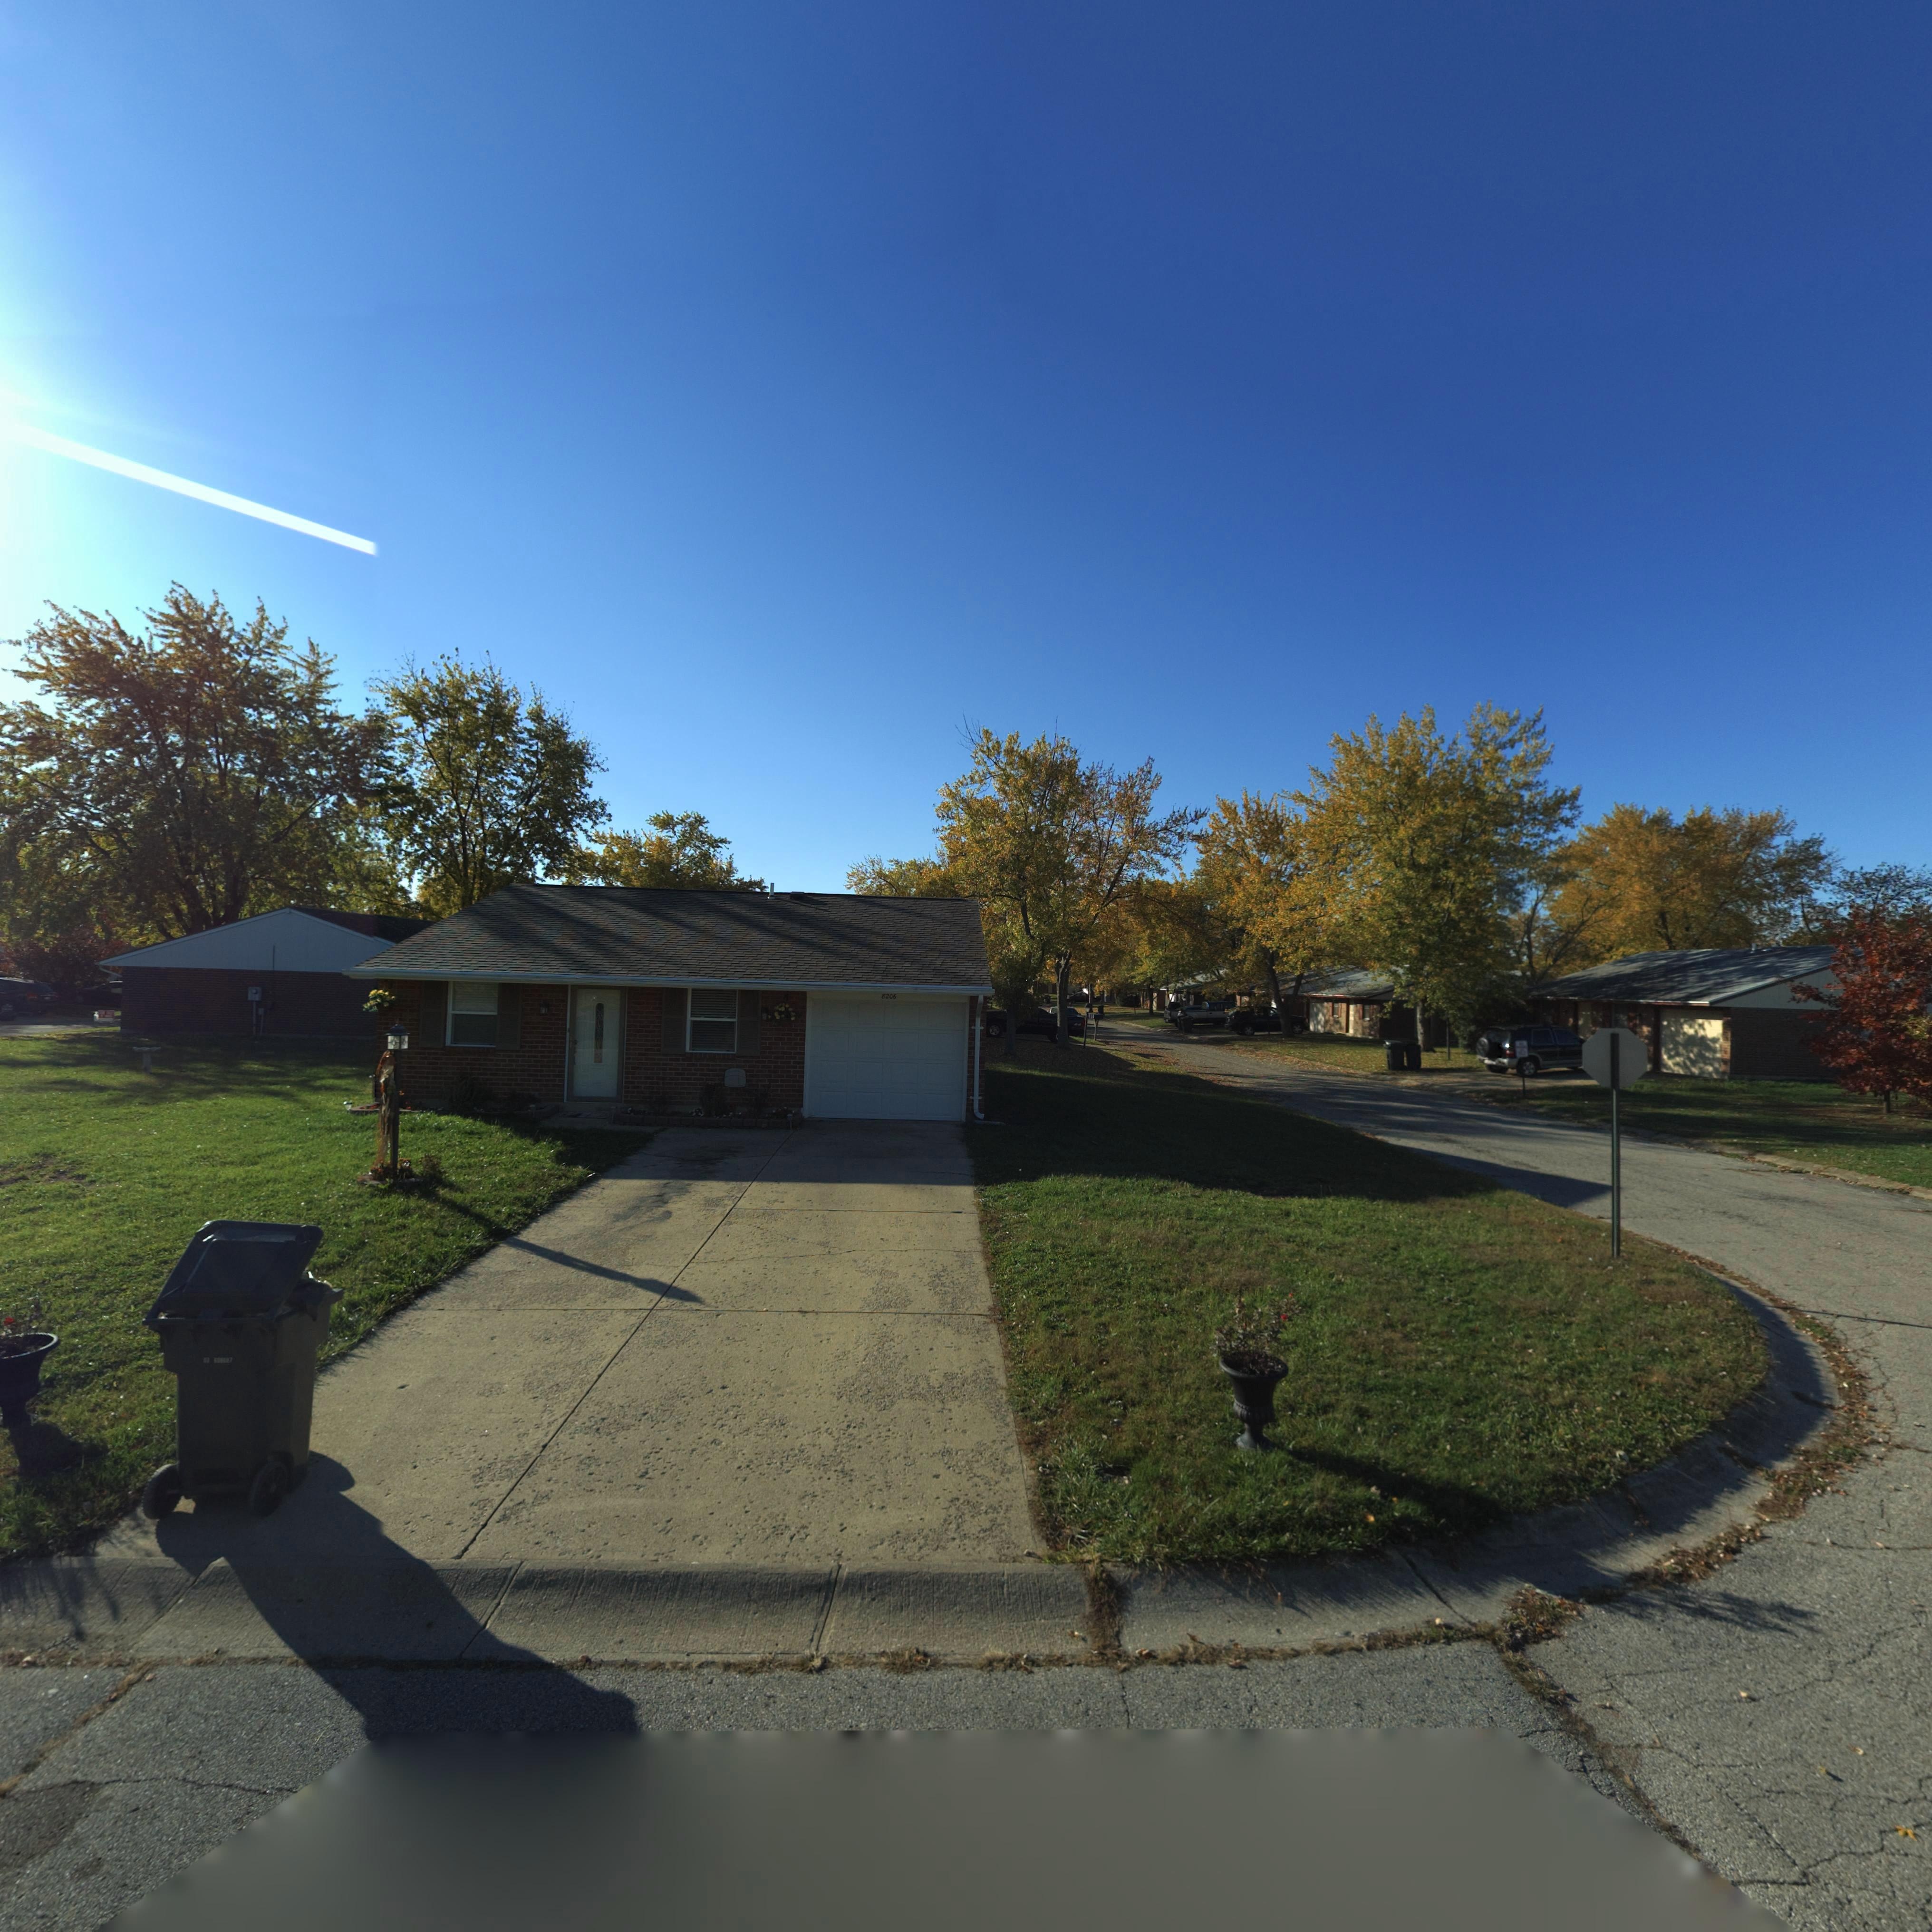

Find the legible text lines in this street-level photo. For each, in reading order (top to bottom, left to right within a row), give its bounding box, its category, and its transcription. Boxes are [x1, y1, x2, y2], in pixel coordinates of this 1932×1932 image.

[881, 993, 897, 999] StreetNumber: 8206